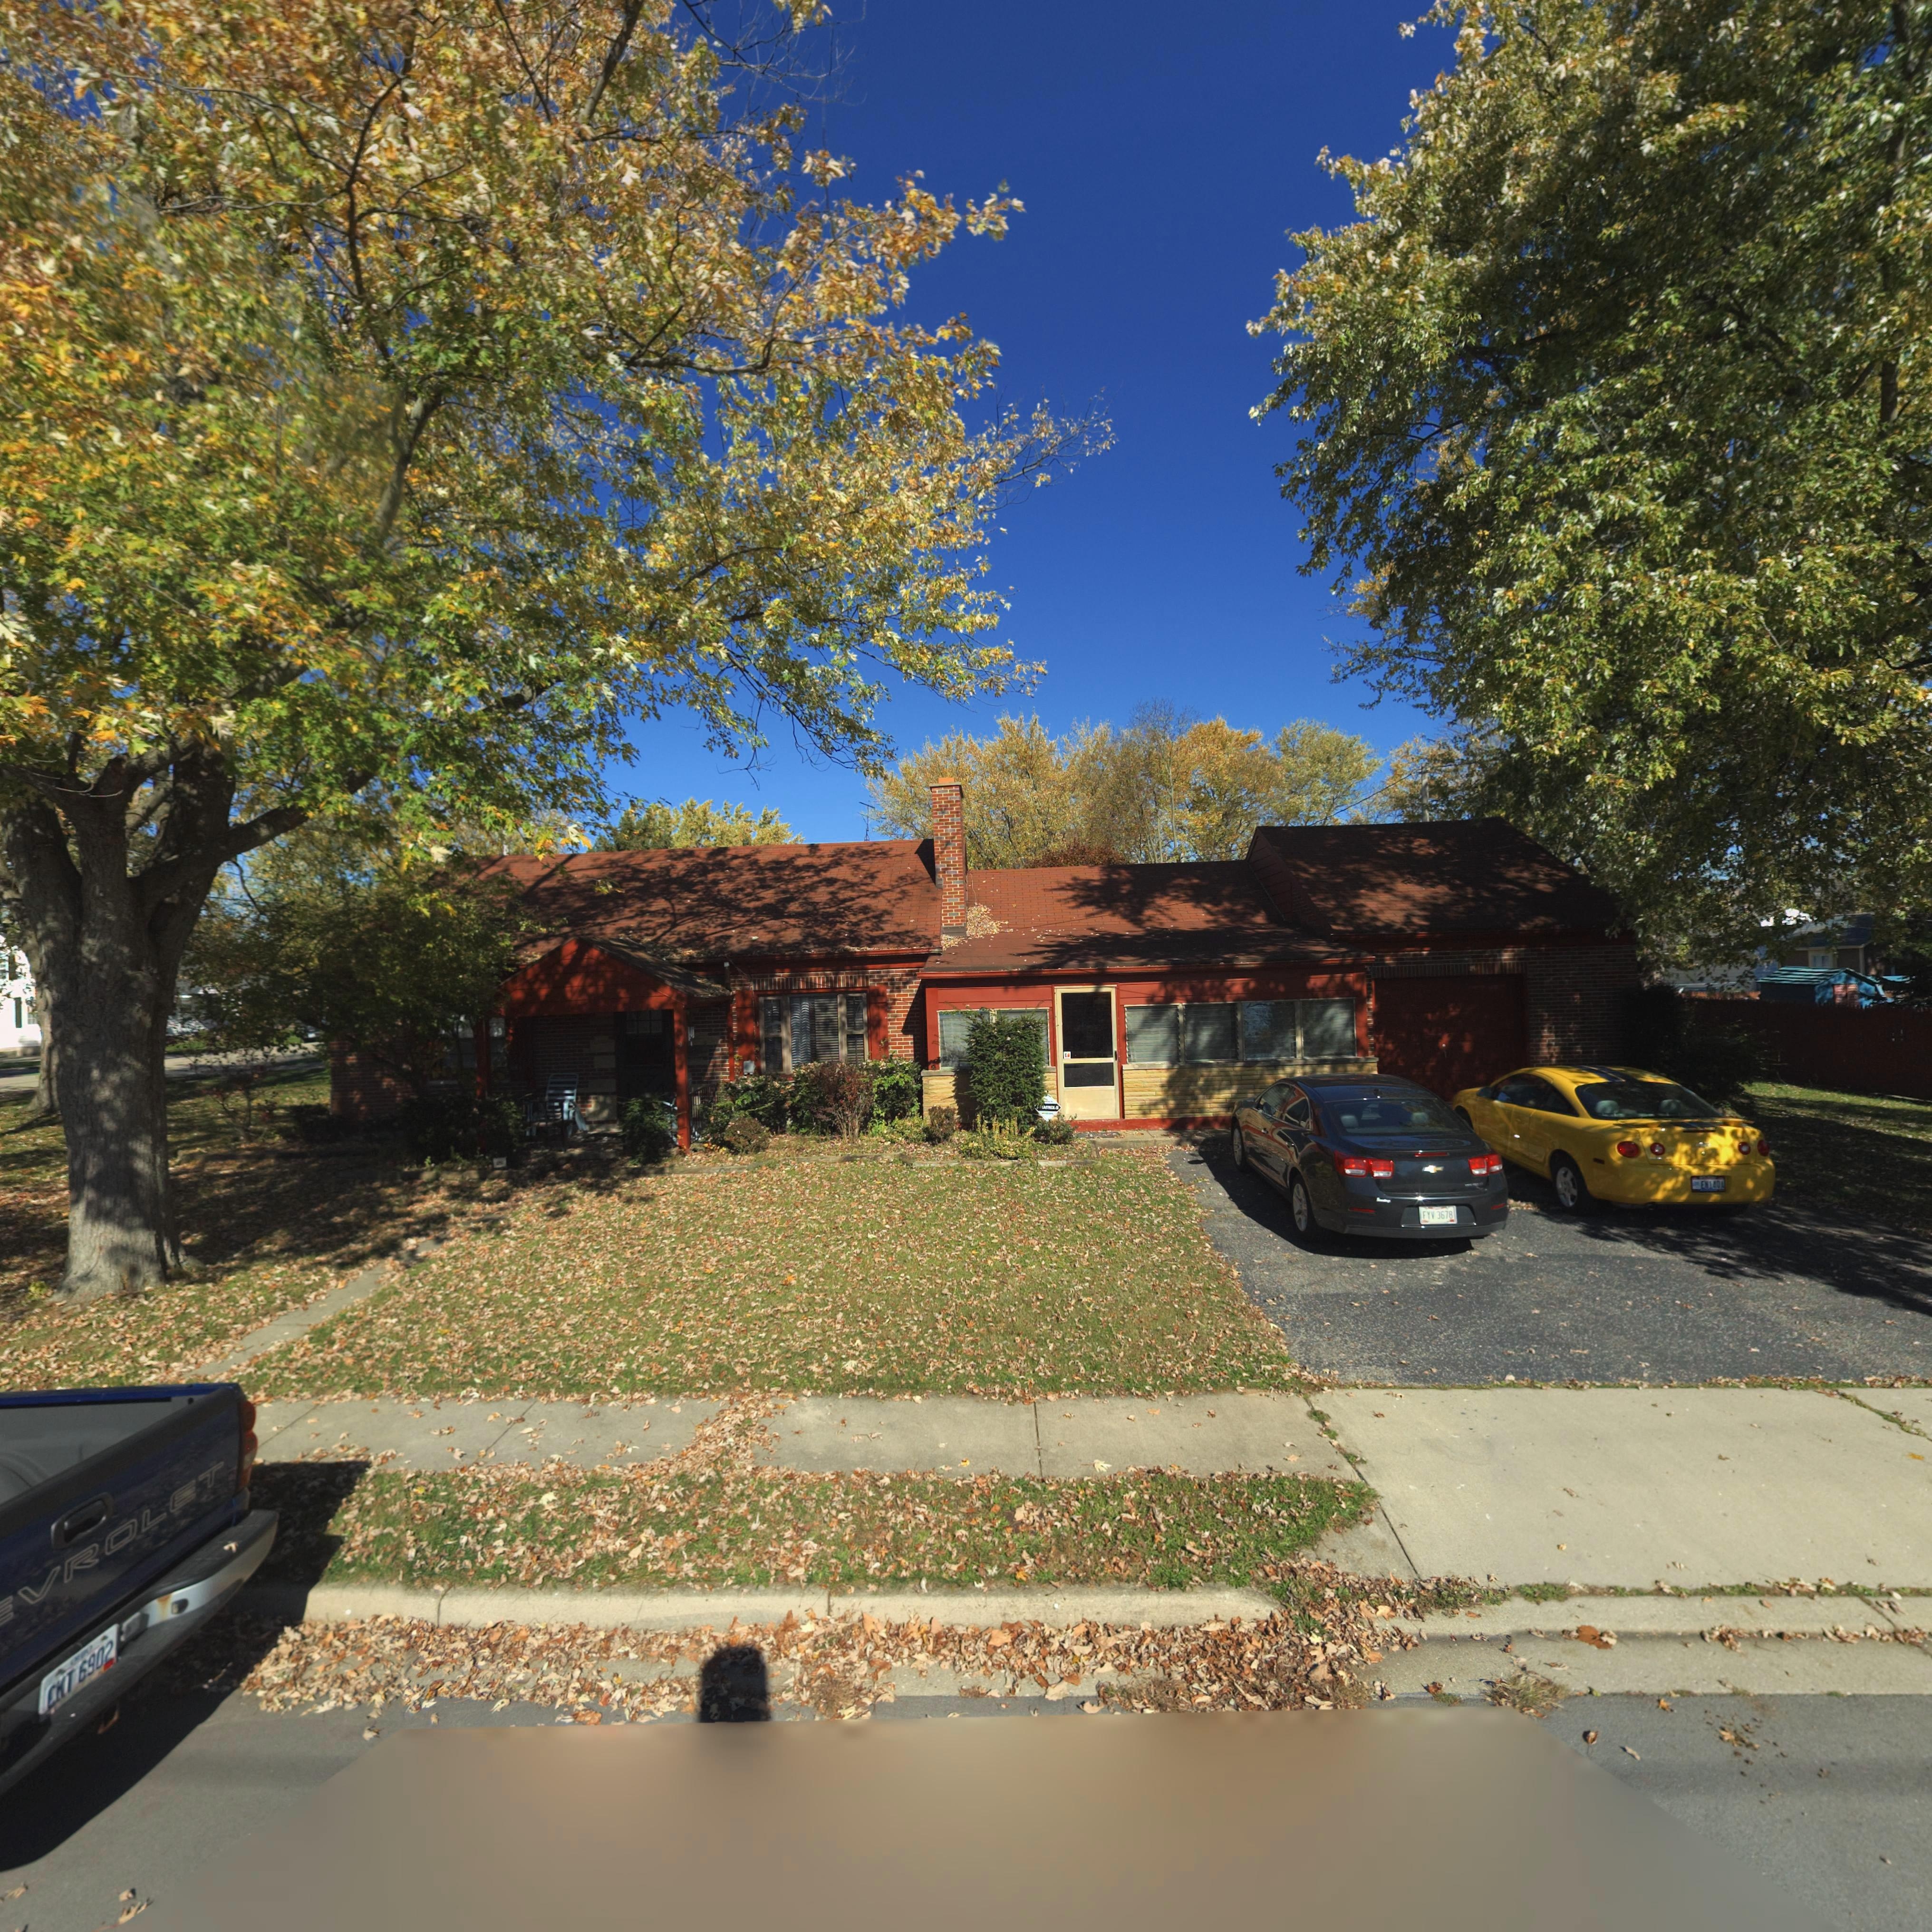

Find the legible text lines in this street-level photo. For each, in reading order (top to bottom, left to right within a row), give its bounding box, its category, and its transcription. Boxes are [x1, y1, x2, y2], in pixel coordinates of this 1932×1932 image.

[677, 1041, 683, 1048] StreetNumber: 9
[1700, 1180, 1725, 1190] None: EN14**
[1421, 1210, 1454, 1220] None: FYV*3678
[12, 1457, 226, 1608] None: VROLET
[46, 1635, 114, 1712] None: CKT*6902